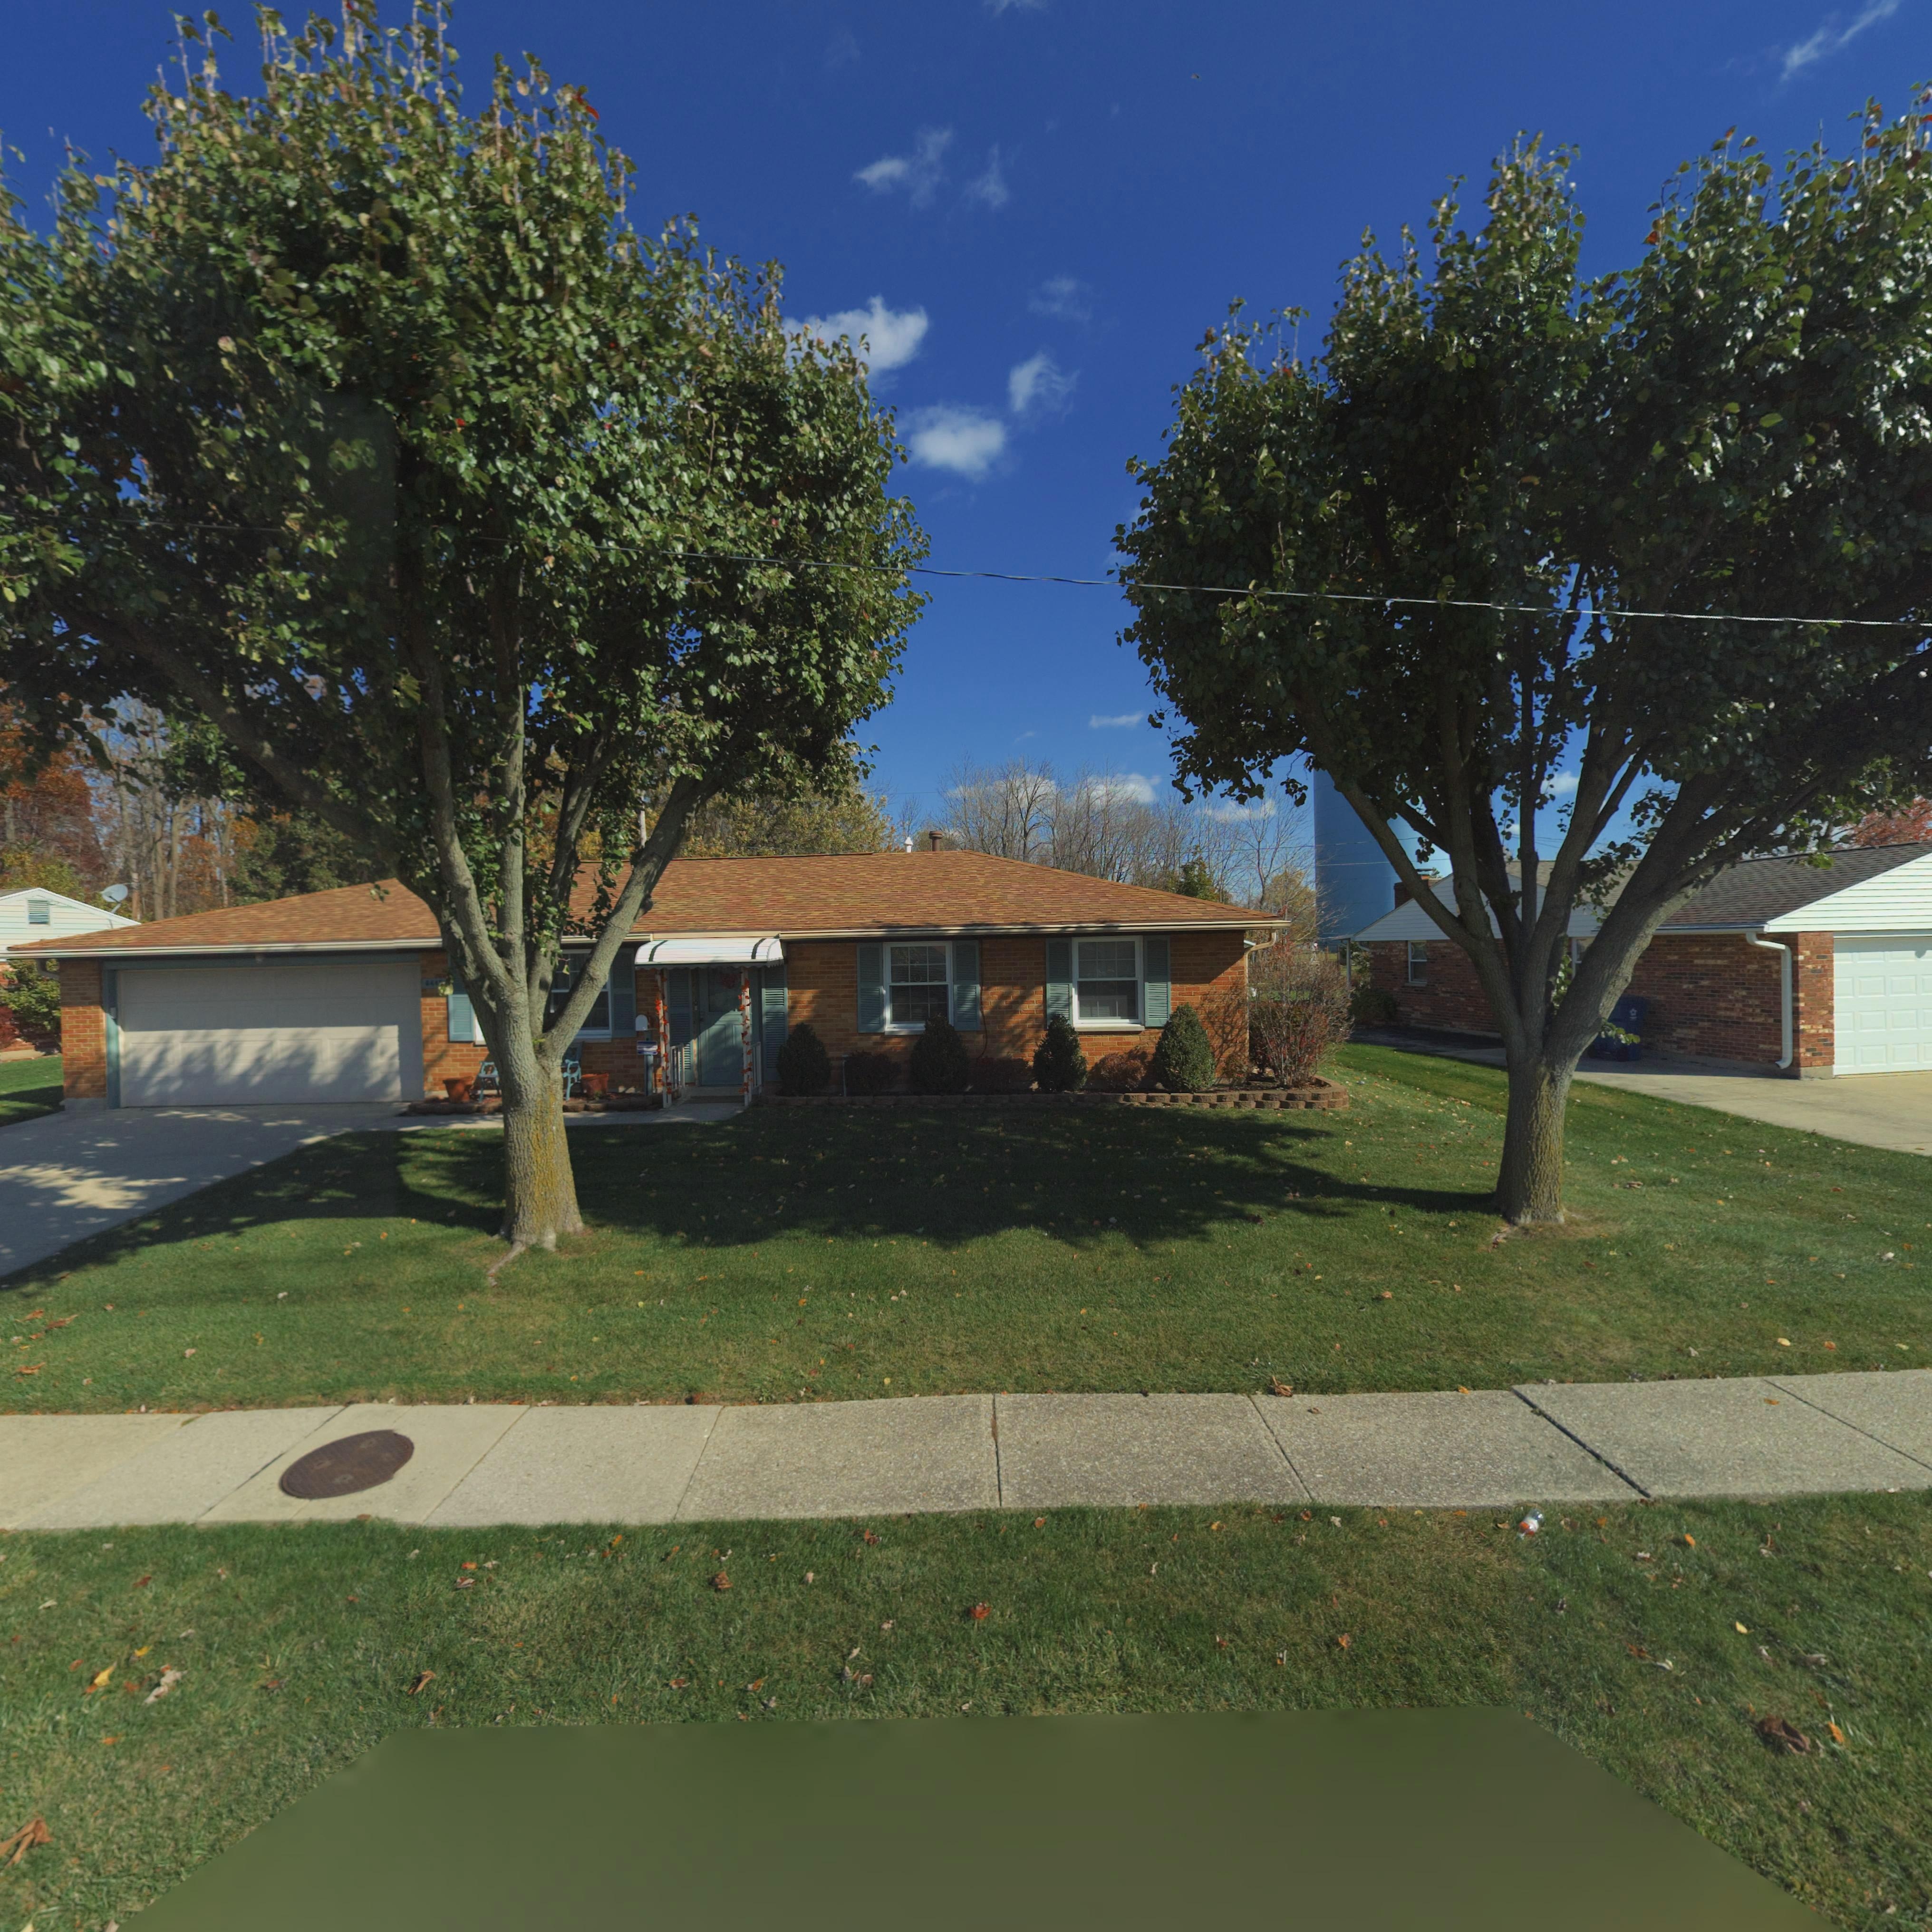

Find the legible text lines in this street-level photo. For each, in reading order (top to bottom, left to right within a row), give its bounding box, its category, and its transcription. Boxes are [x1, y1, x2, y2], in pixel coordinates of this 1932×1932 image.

[423, 979, 439, 987] StreetNumber: 644